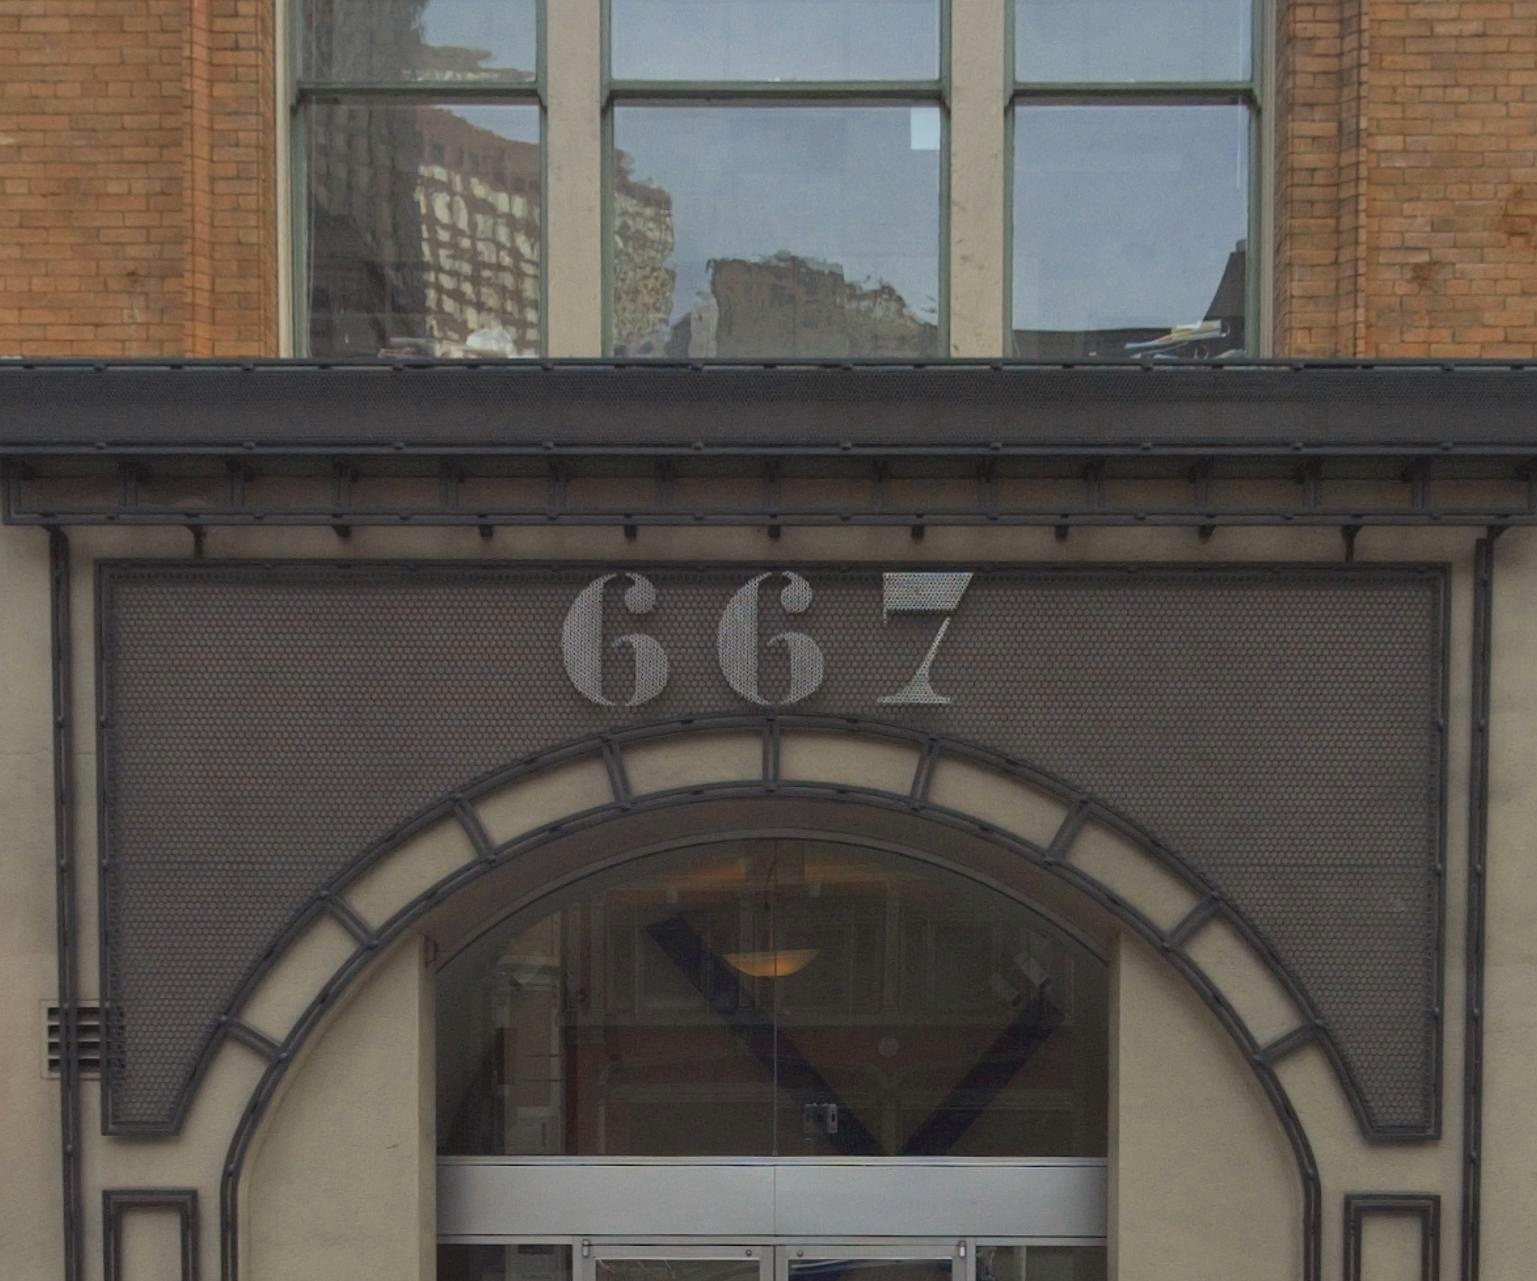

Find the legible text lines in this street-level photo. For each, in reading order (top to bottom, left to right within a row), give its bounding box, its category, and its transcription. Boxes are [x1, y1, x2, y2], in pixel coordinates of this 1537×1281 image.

[556, 566, 980, 712] StreetNumber: 667